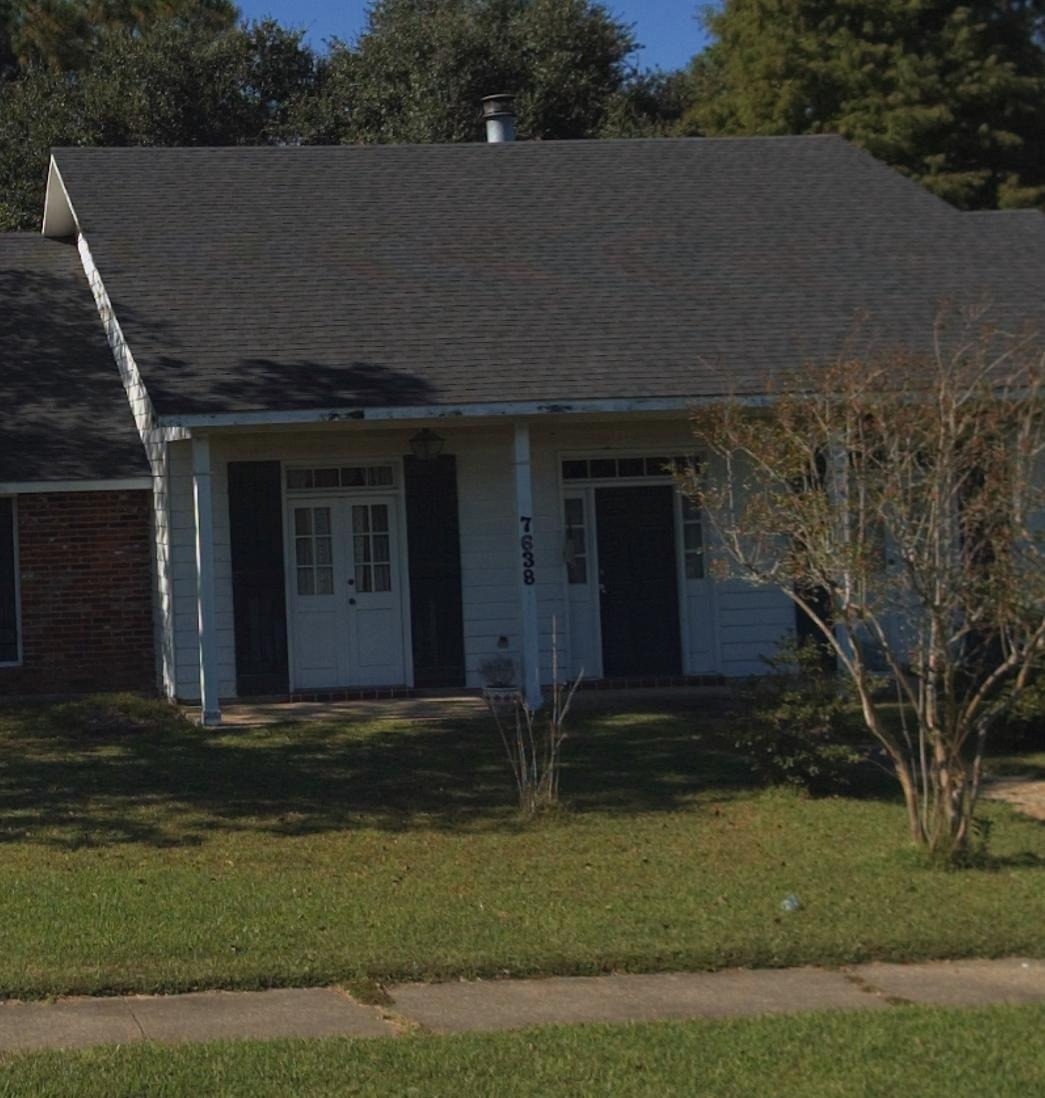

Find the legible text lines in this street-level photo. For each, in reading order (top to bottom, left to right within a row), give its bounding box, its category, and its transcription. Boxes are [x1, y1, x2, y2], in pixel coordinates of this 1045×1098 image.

[520, 515, 536, 586] StreetNumber: 7638